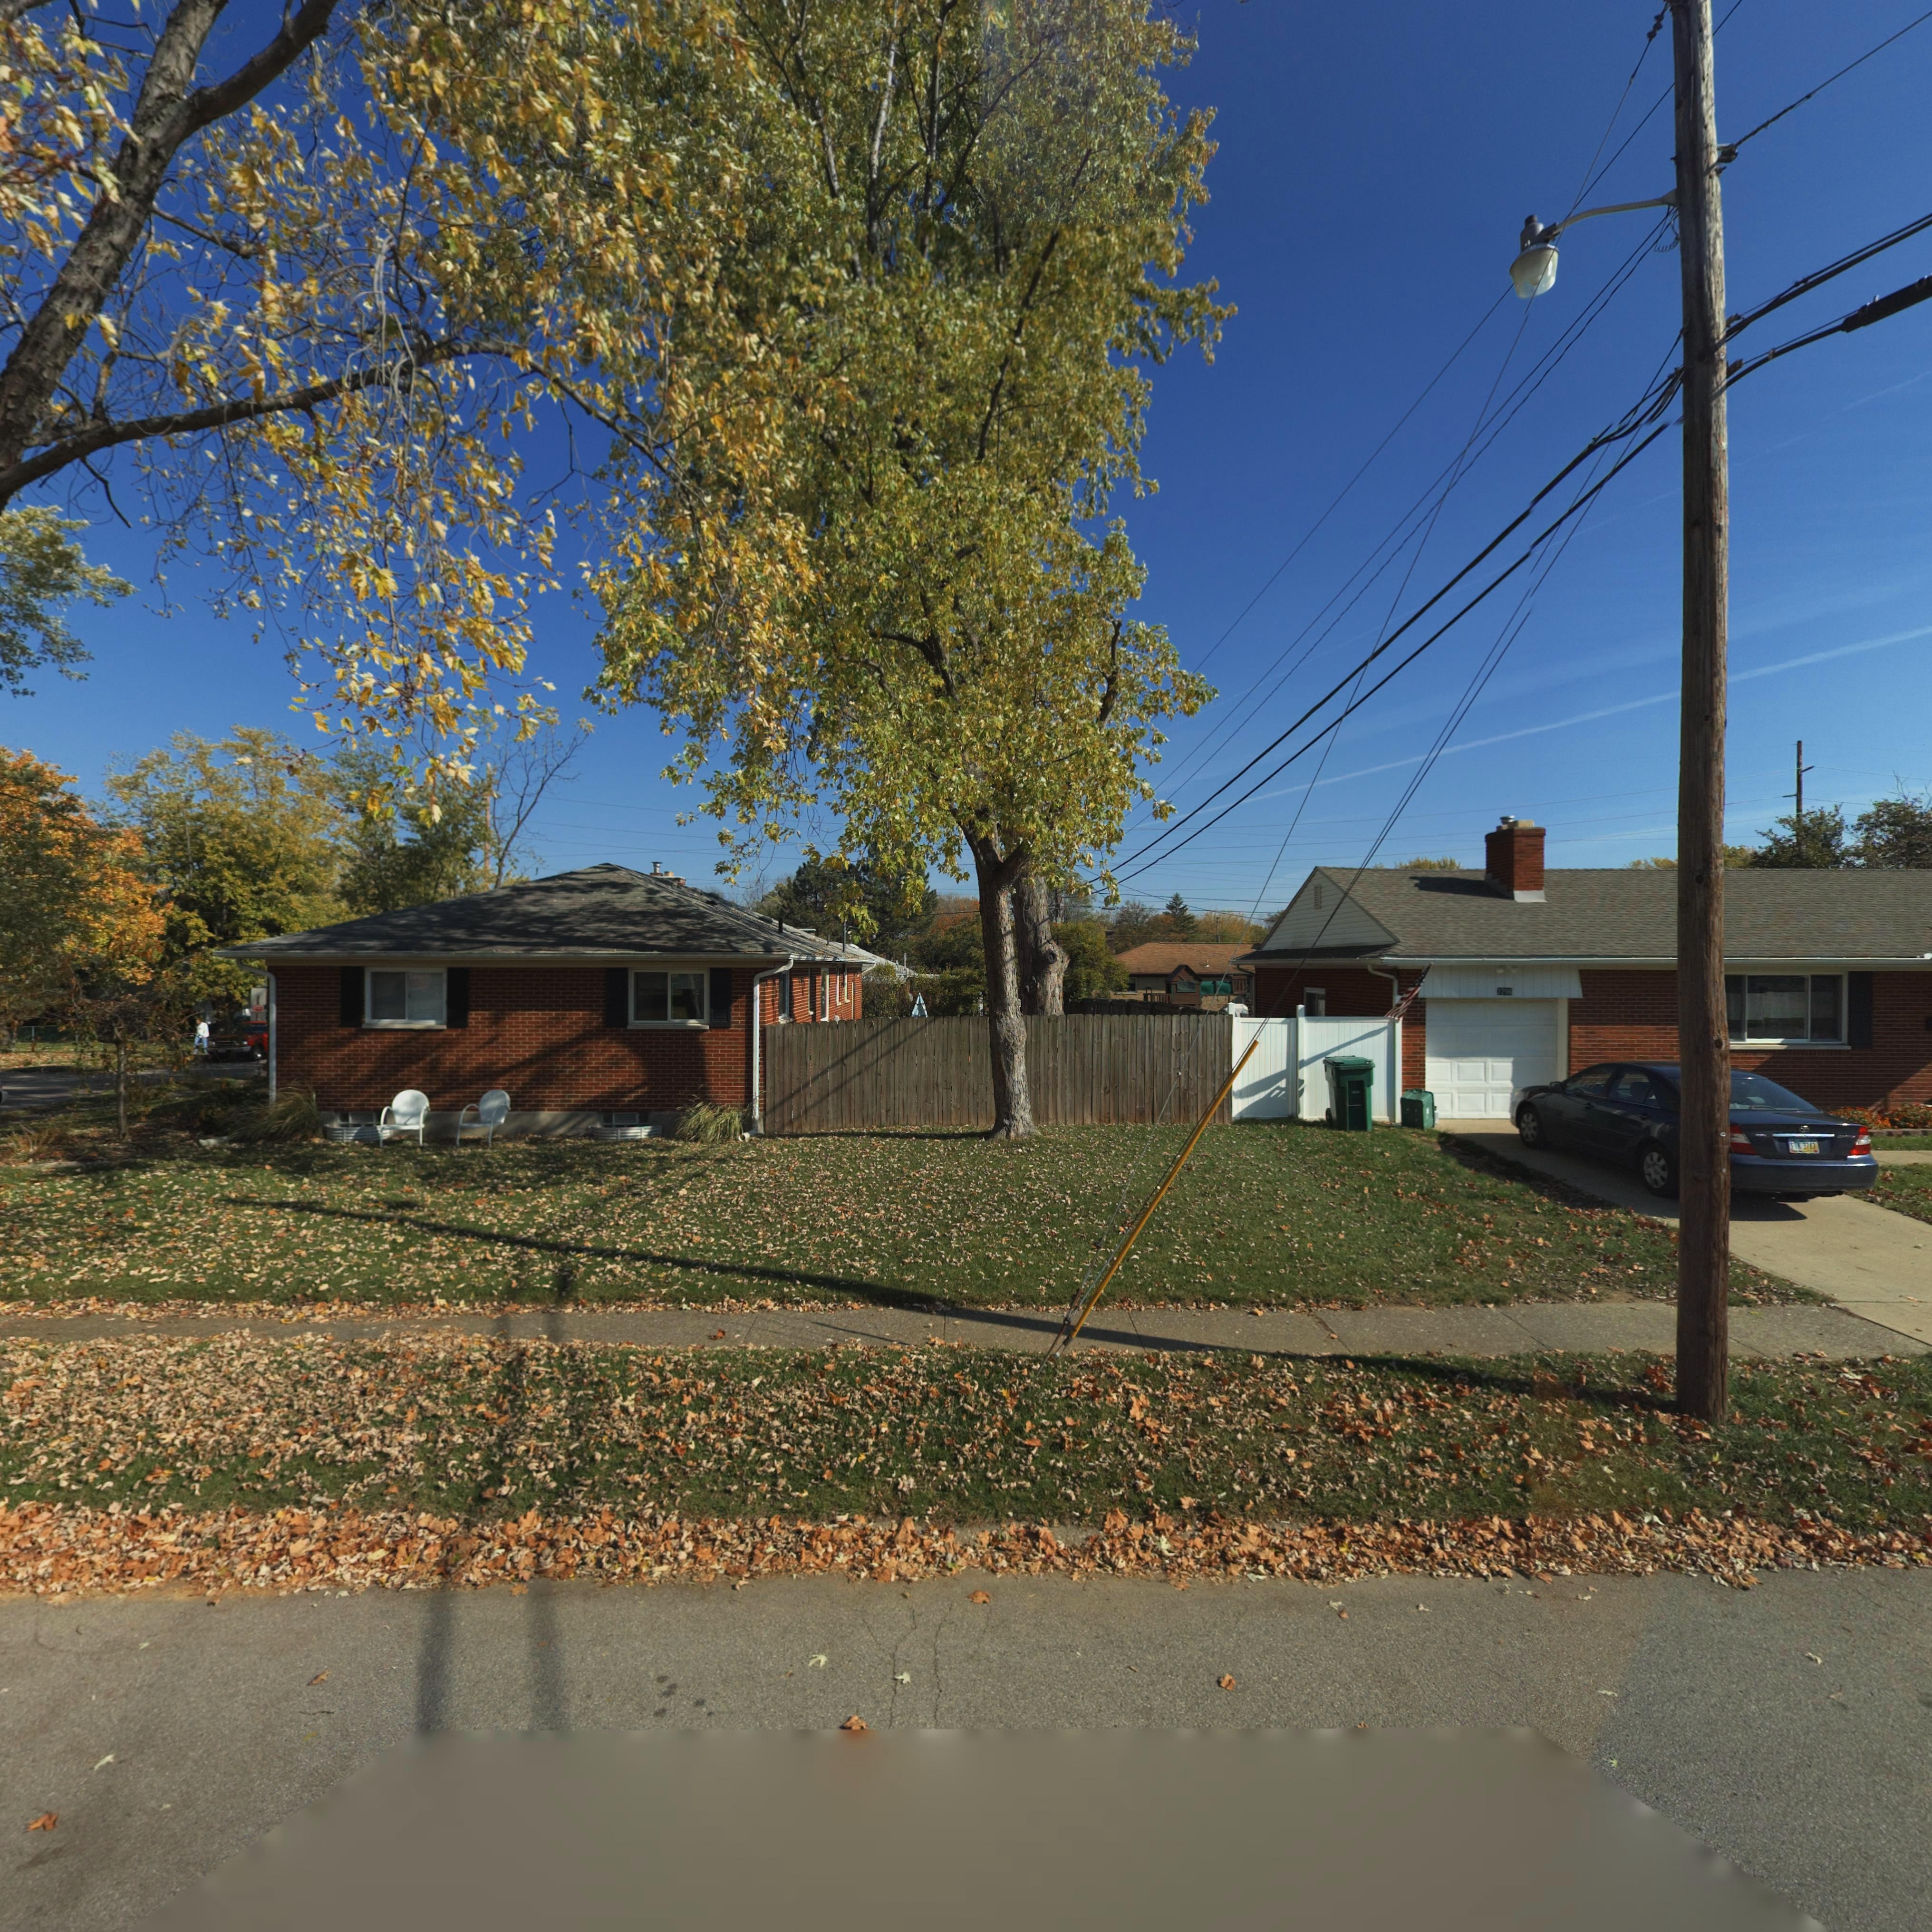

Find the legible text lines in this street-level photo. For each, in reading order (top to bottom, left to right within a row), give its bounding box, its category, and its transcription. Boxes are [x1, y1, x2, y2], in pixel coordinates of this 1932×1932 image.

[1496, 987, 1513, 996] StreetNumber: 3706